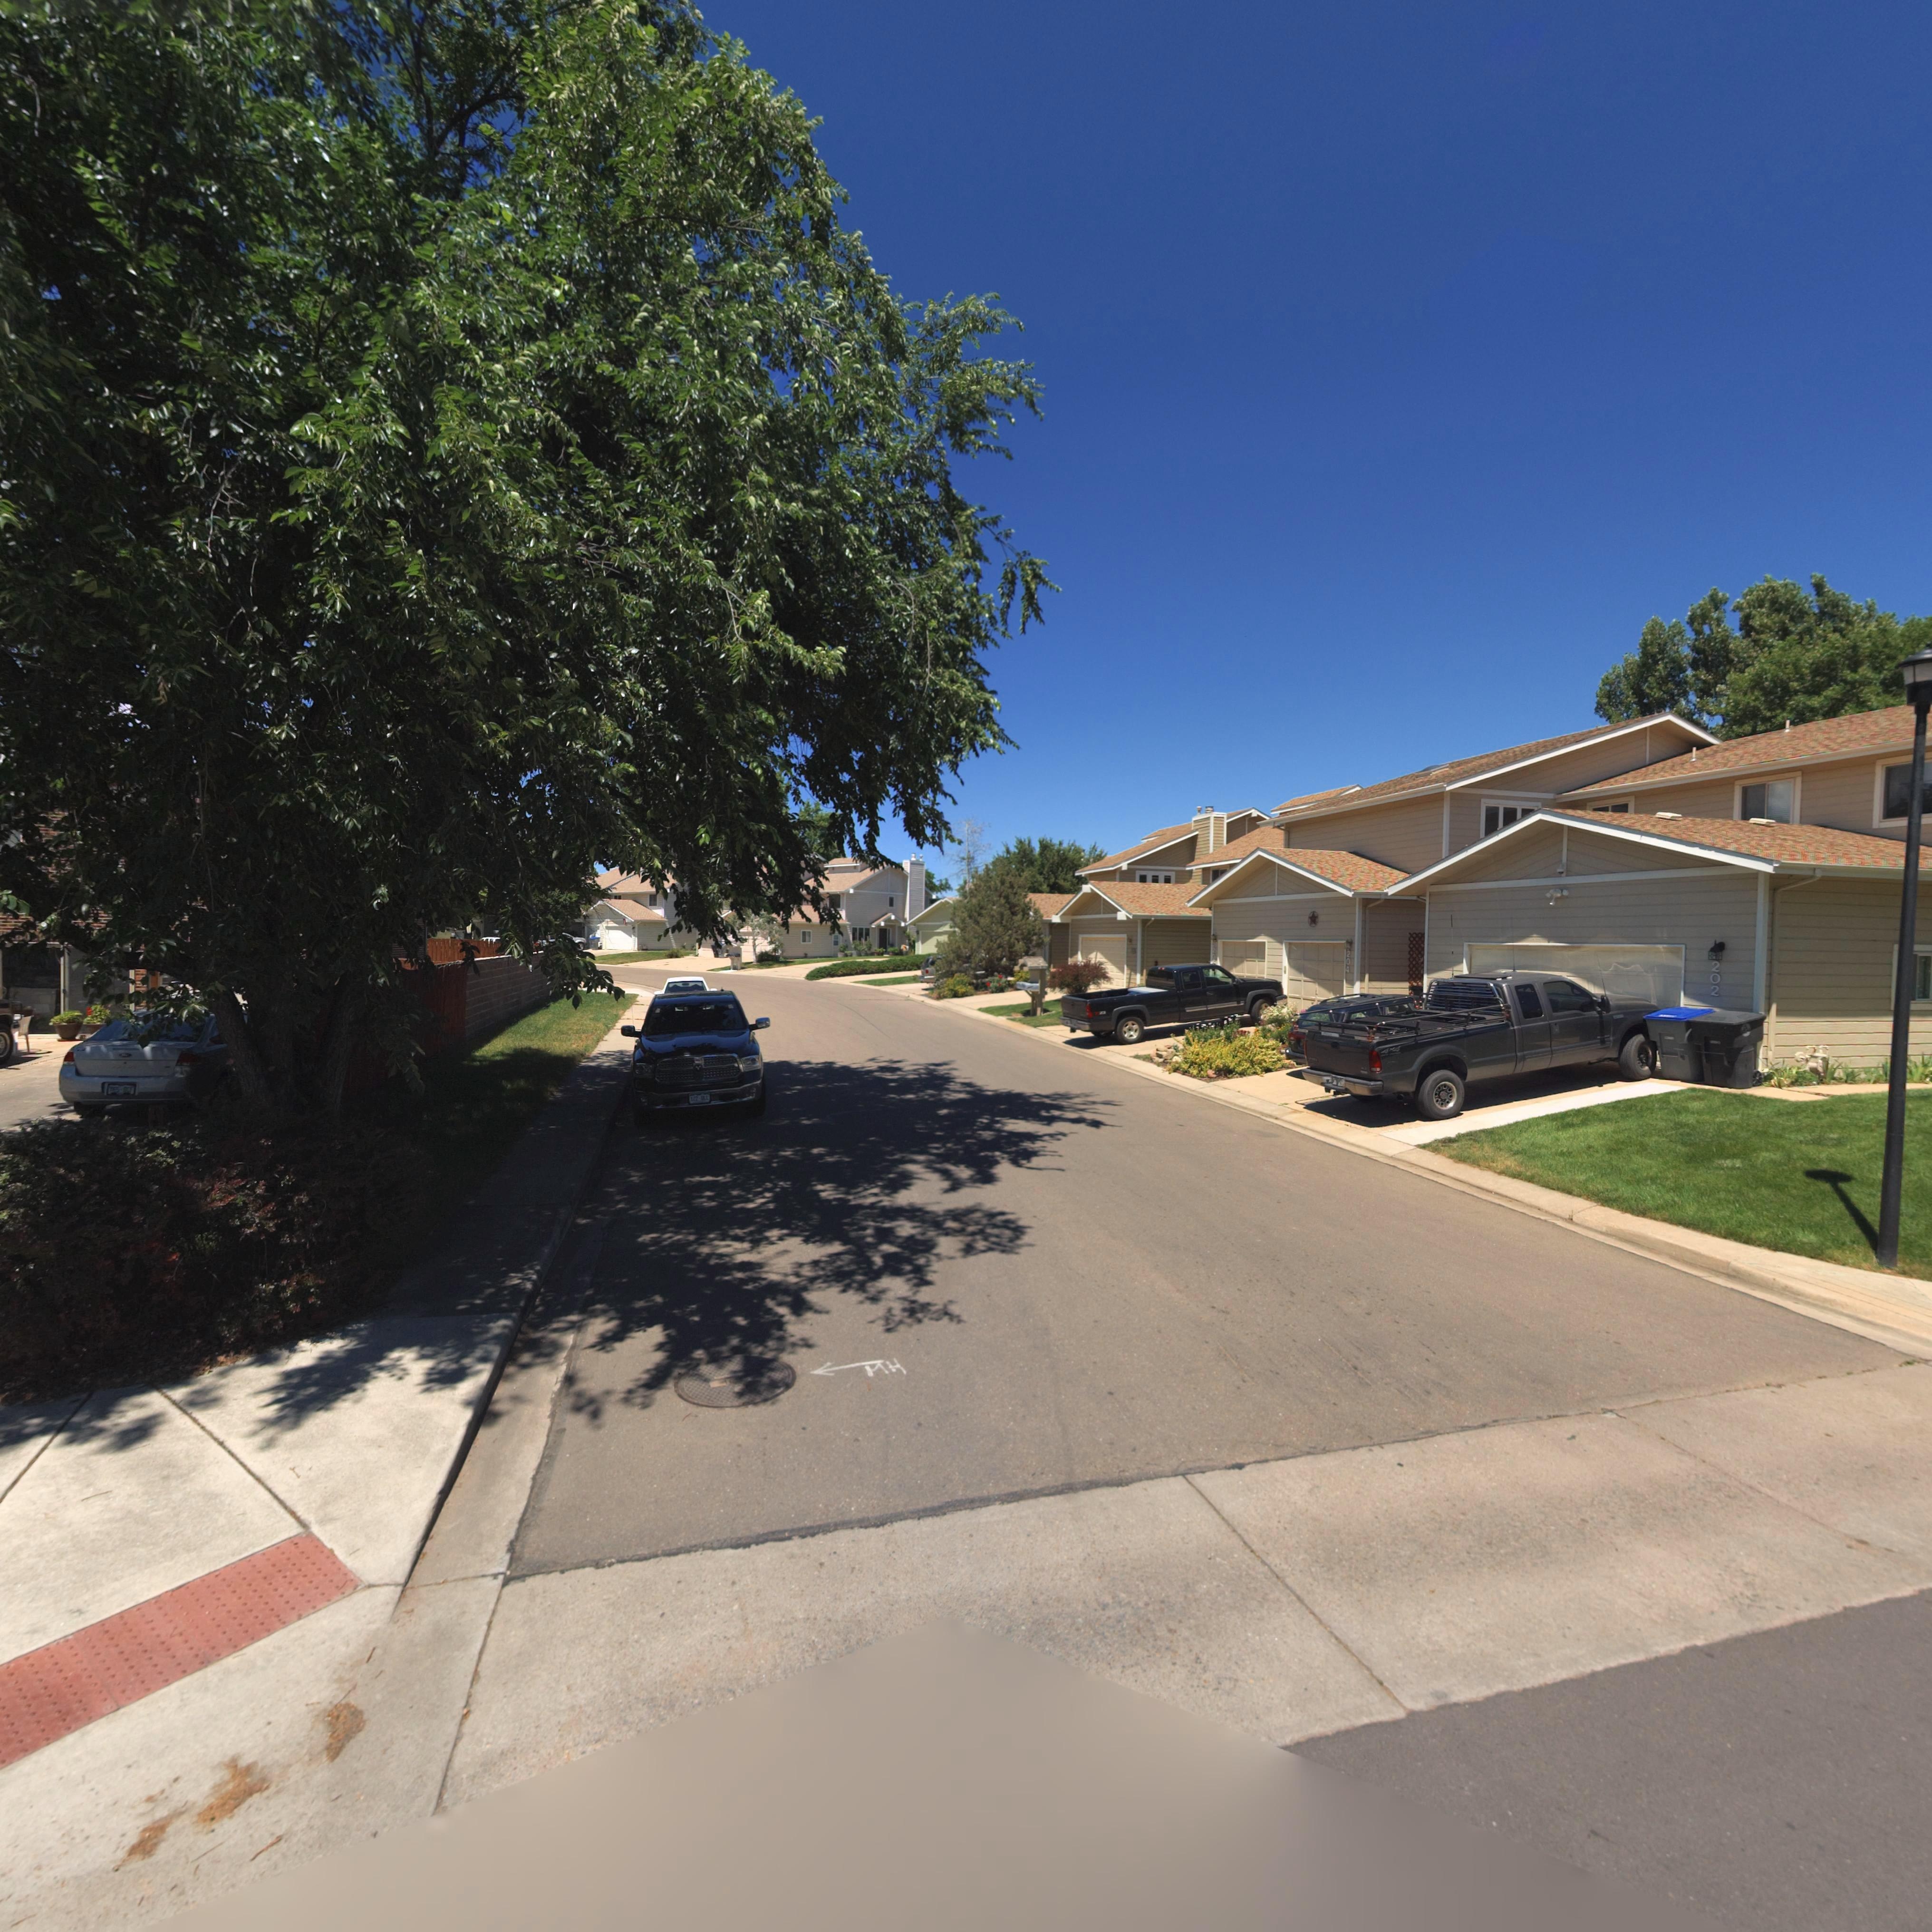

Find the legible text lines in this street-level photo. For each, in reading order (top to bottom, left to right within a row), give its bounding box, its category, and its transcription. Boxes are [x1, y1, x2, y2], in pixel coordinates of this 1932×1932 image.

[1345, 950, 1351, 973] StreetNumber: 204
[1710, 961, 1720, 996] StreetNumber: 202
[863, 1357, 908, 1377] None: x*